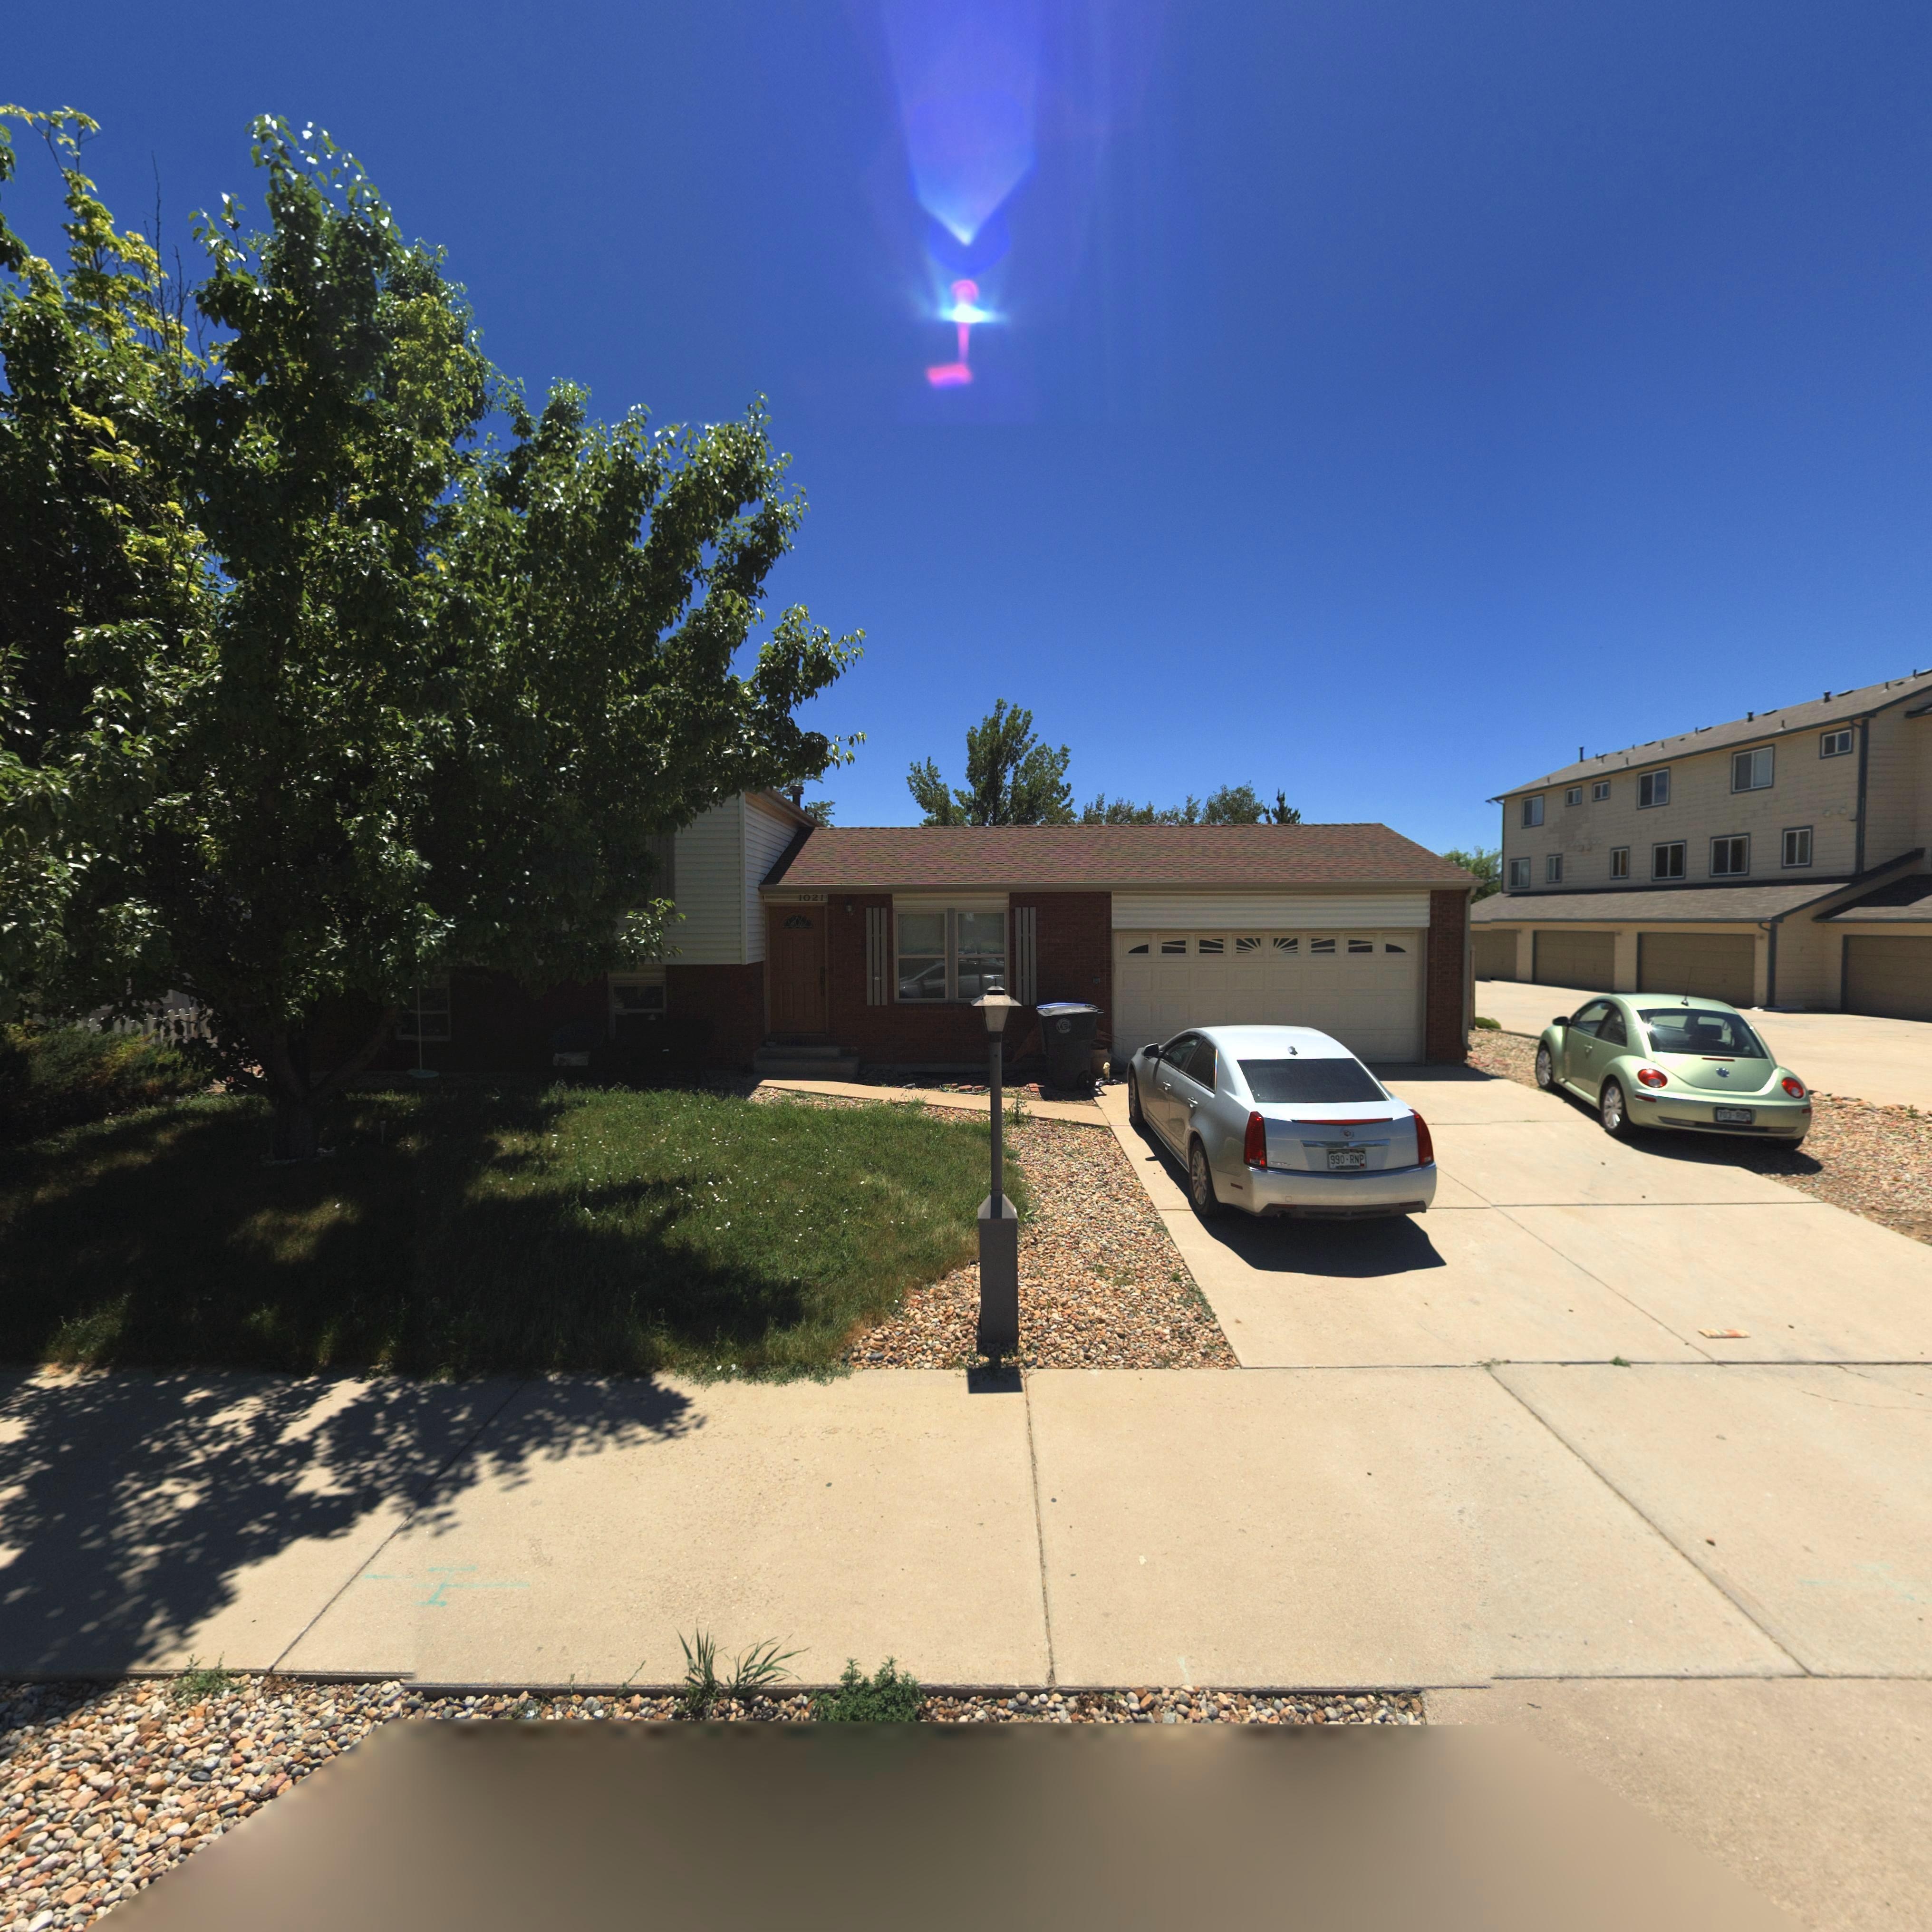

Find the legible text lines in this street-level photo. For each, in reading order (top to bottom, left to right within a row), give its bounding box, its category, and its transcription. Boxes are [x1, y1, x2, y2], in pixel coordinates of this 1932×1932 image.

[797, 893, 825, 901] StreetNumber: 1021